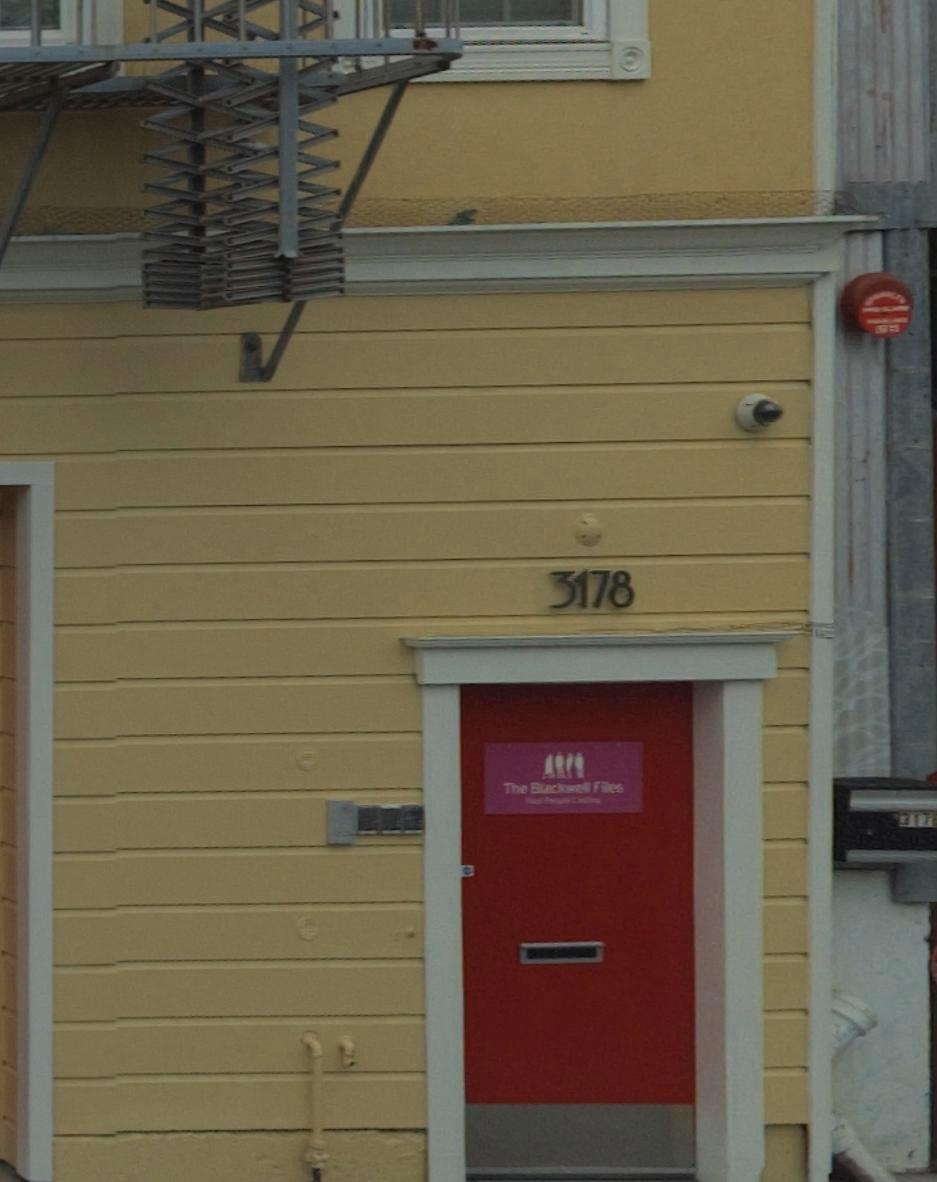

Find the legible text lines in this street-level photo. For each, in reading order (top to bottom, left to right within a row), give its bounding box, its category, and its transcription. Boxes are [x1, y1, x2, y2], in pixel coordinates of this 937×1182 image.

[548, 568, 637, 611] StreetNumber: 3178
[500, 780, 624, 795] BusinessName: The Blackwell Files
[899, 811, 931, 827] StreetNumber: 317